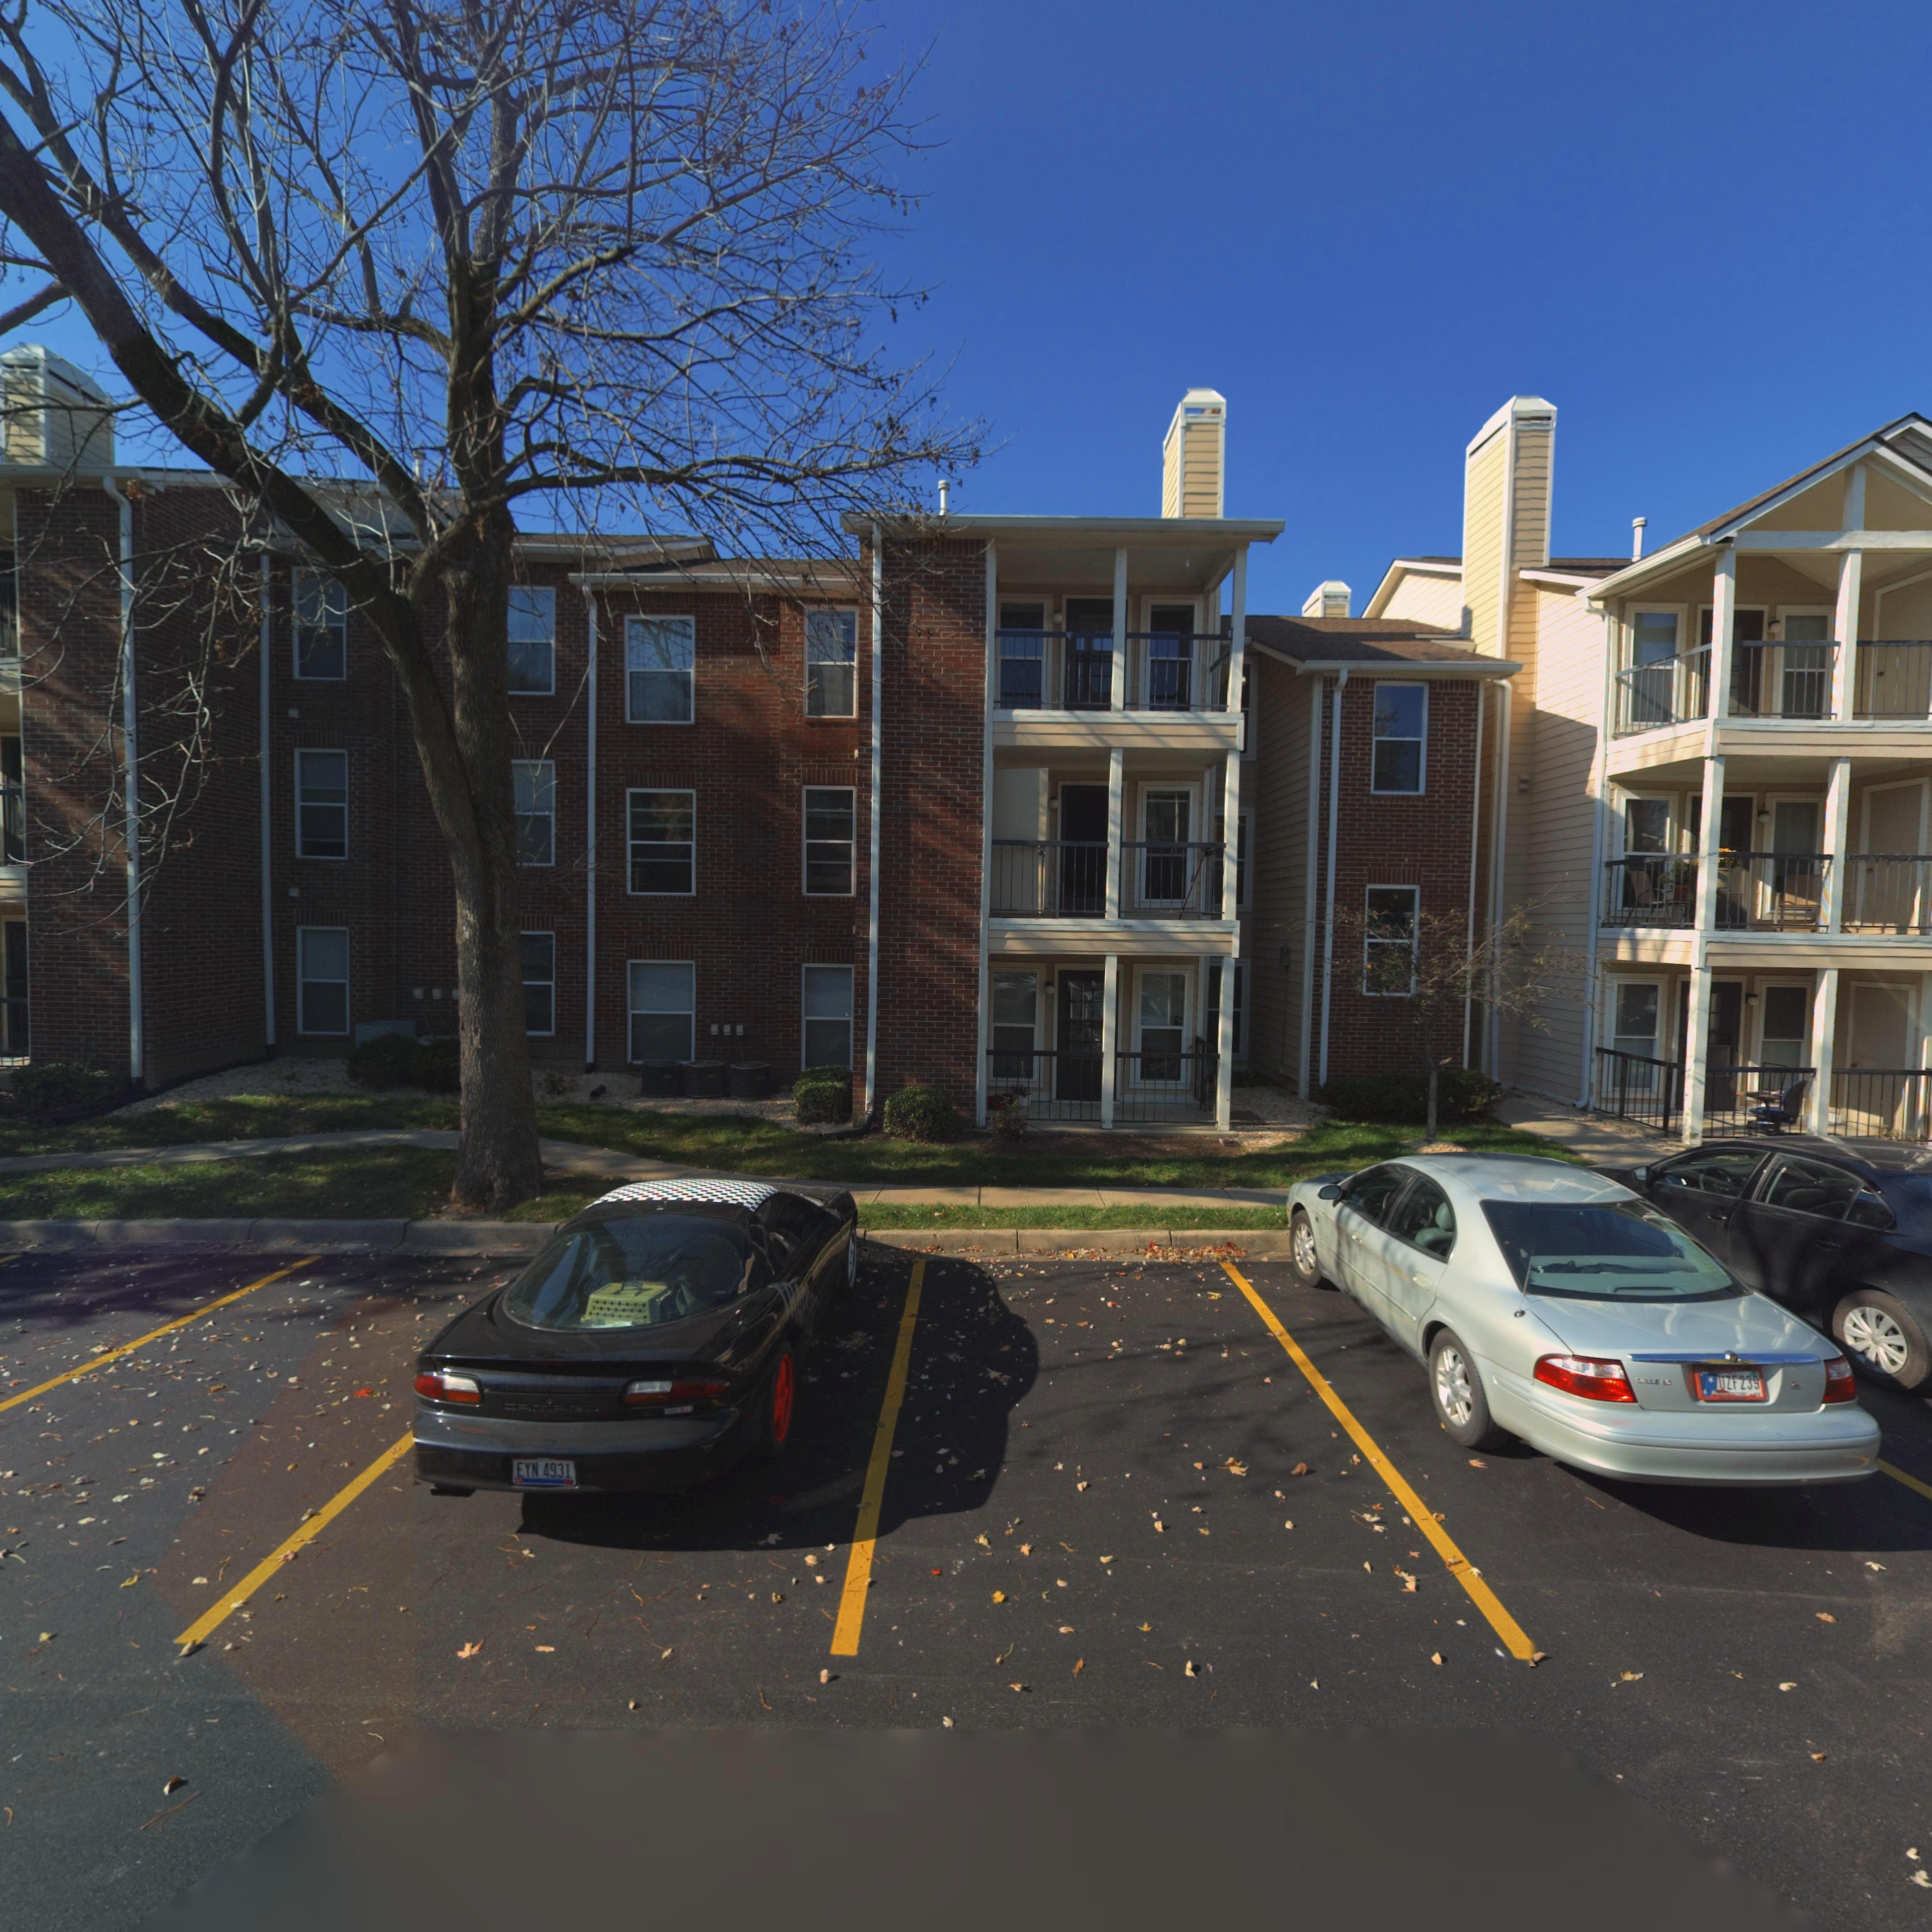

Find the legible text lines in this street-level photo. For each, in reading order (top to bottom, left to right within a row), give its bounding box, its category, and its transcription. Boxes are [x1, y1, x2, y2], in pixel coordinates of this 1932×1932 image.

[1716, 1373, 1761, 1391] None: UZF239
[501, 1401, 600, 1413] None: CAM***
[516, 1460, 572, 1480] None: EYN 4931